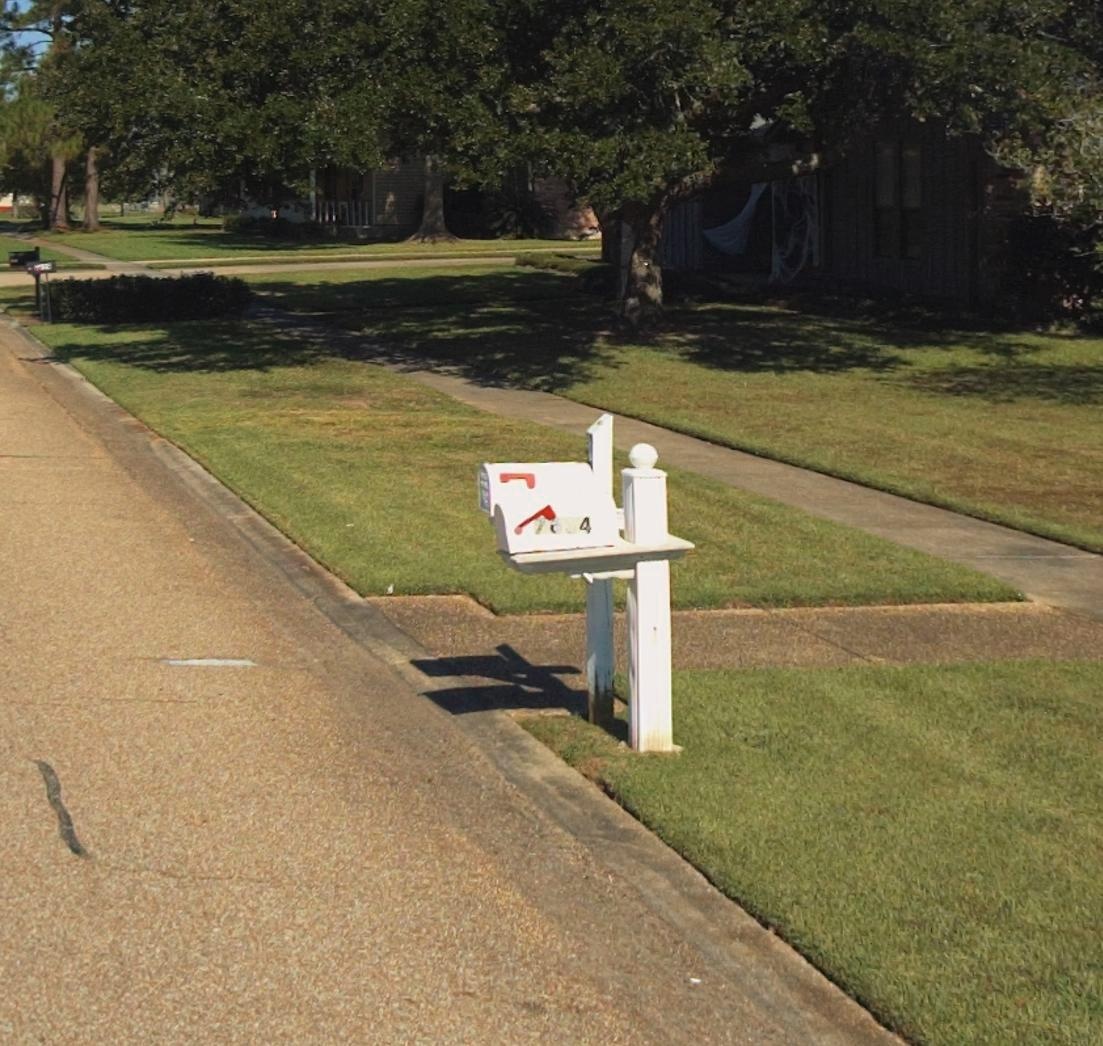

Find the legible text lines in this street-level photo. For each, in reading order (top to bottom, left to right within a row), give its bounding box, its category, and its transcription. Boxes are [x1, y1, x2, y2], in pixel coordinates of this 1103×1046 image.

[534, 515, 592, 535] StreetNumber: 7634